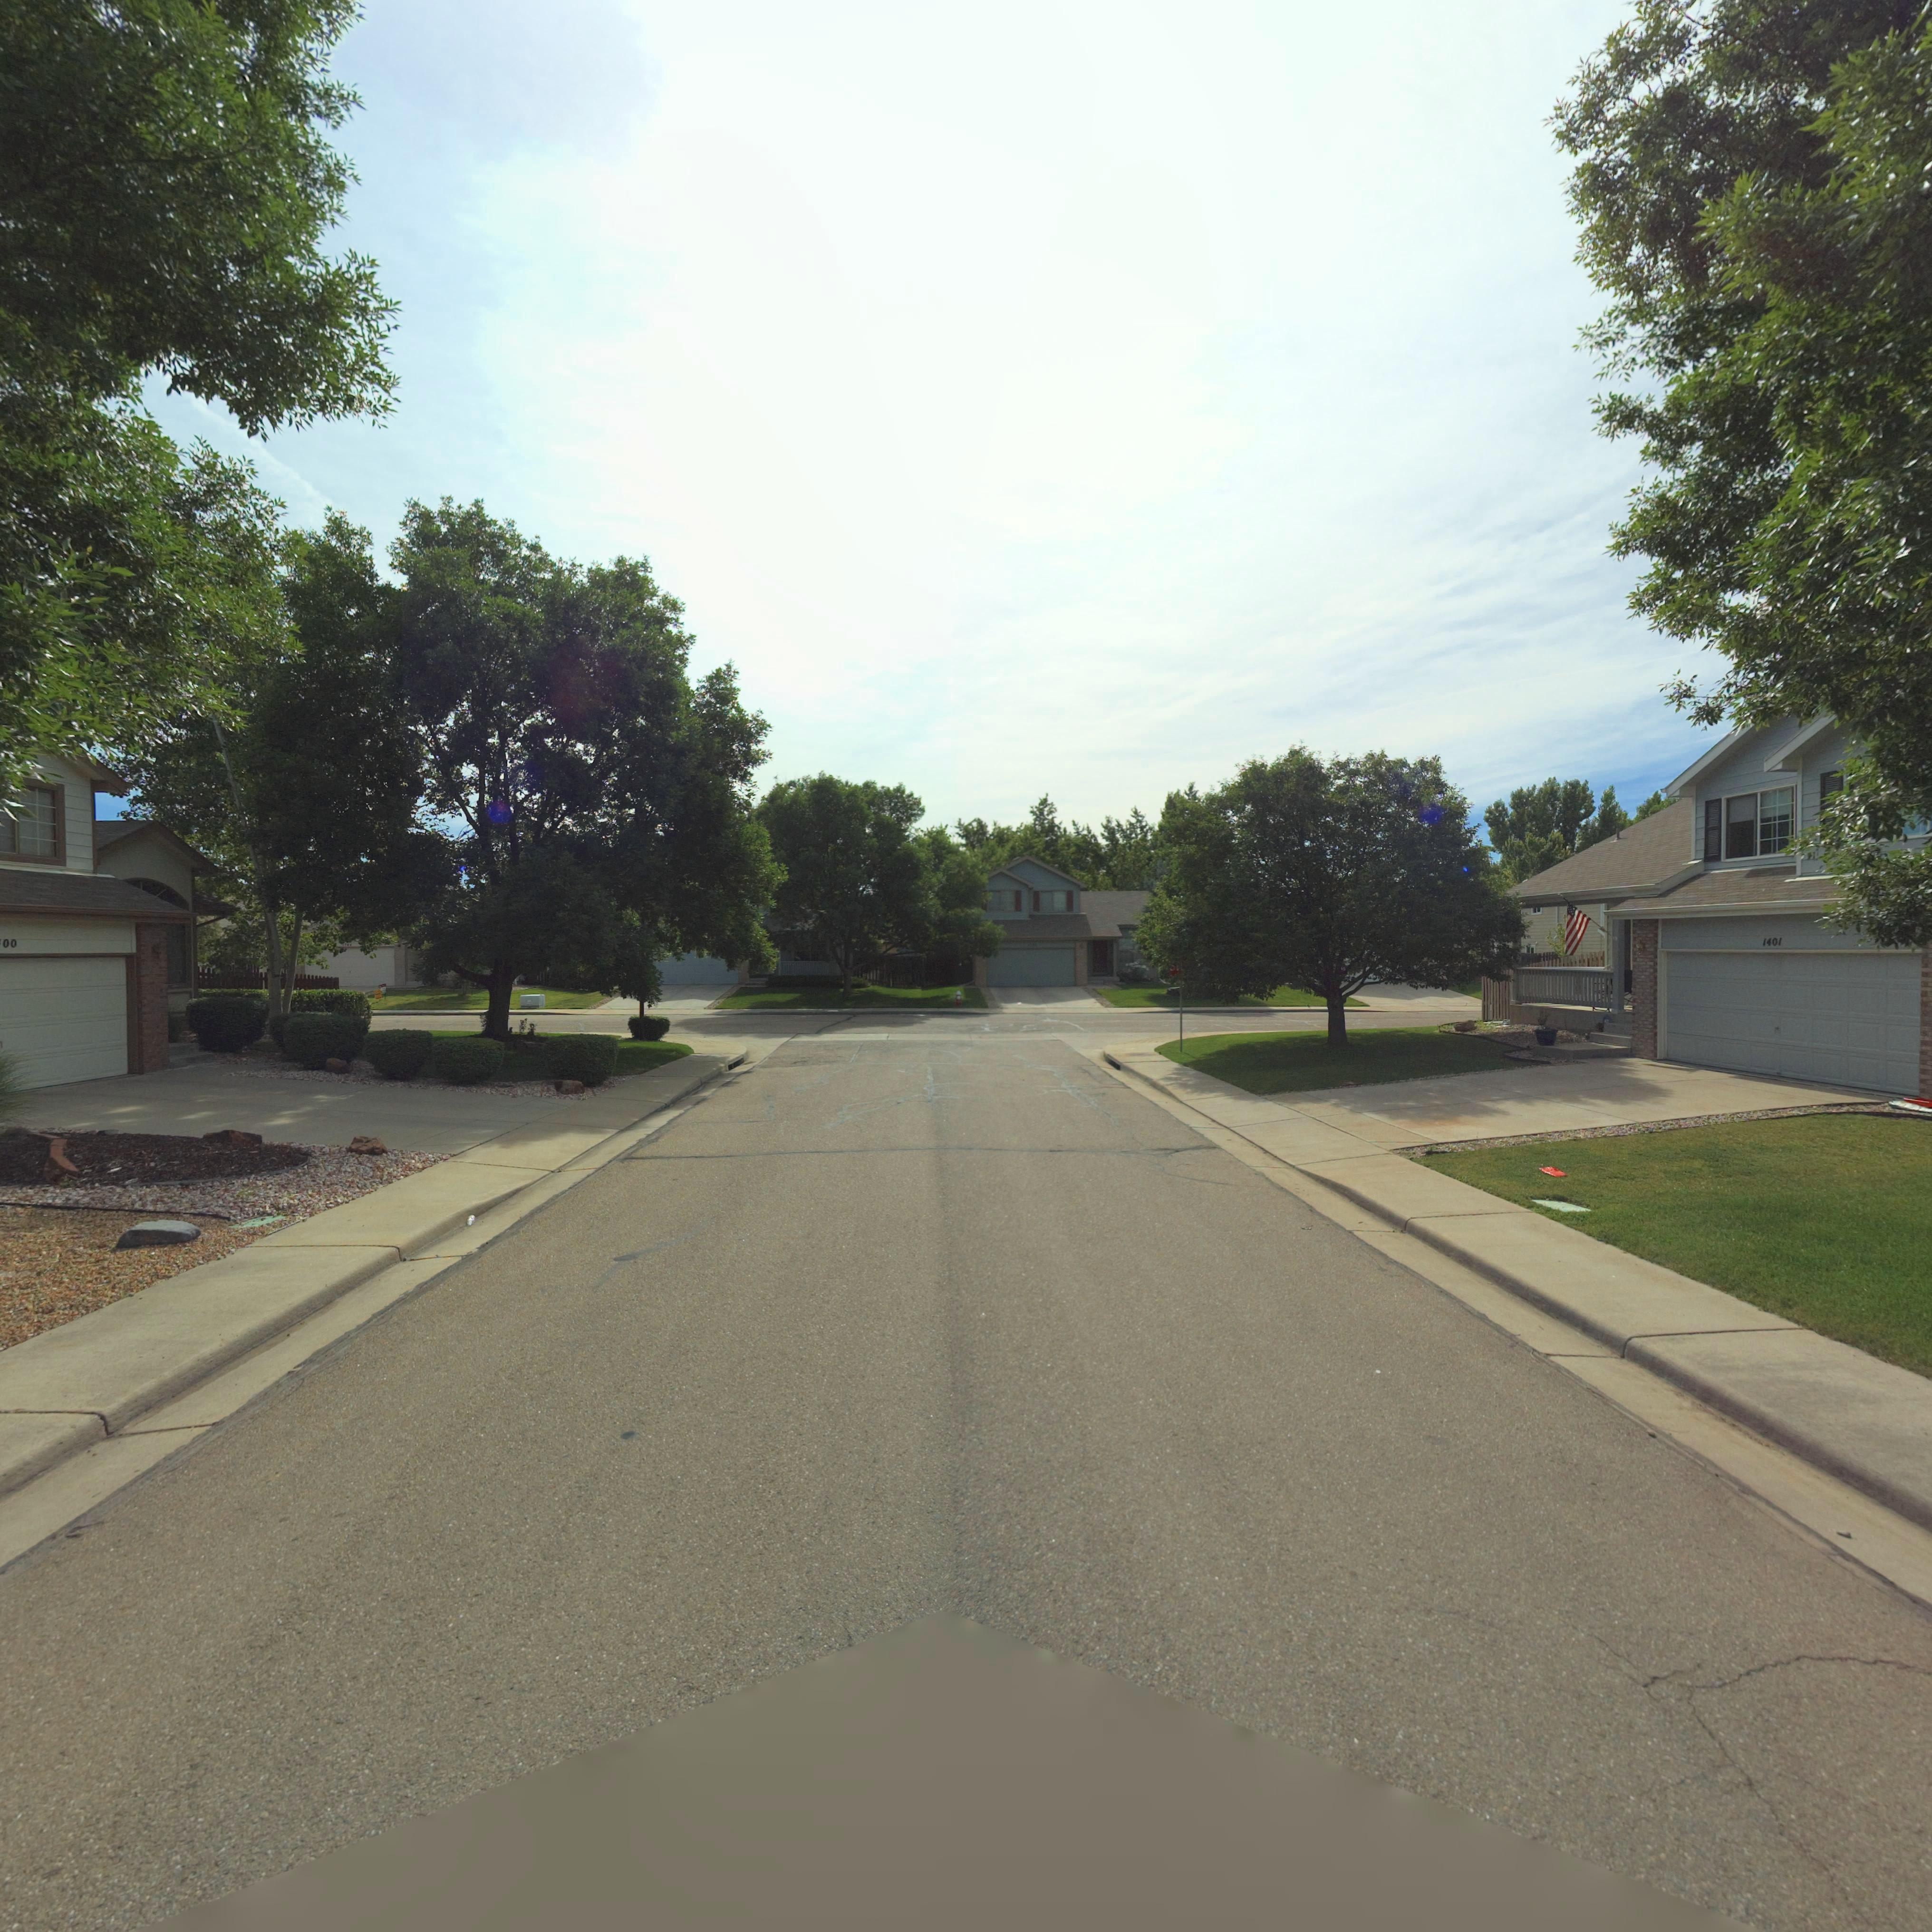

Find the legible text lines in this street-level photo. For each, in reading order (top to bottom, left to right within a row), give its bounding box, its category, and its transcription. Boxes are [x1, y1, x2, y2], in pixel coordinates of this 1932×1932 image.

[2, 938, 16, 948] StreetNumber: 00
[1763, 937, 1782, 946] StreetNumber: 1401